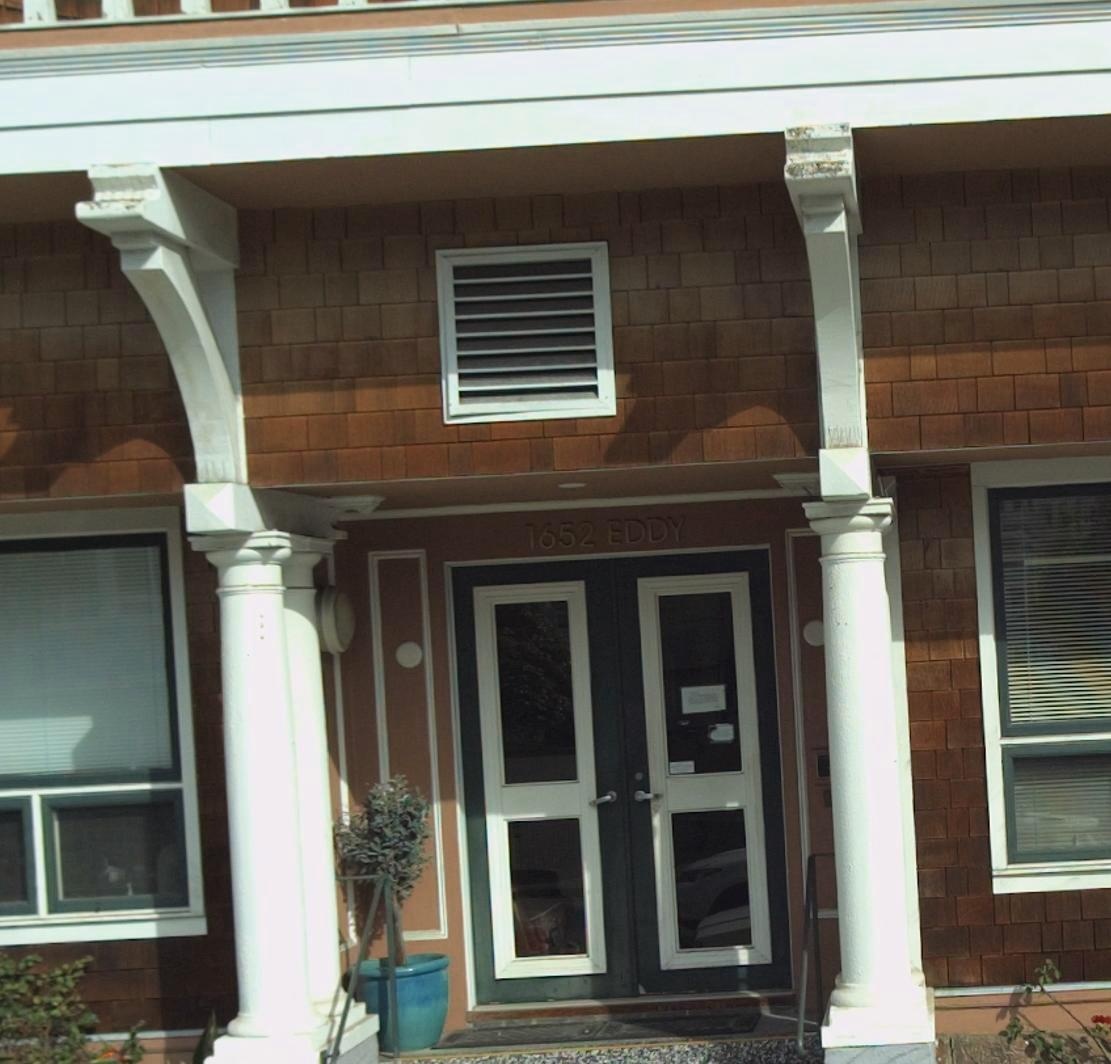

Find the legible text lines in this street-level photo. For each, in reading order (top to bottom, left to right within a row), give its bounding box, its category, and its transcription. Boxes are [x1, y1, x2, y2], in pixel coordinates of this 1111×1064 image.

[525, 518, 598, 553] StreetNumber: 1652
[605, 514, 688, 549] StreetName: EDDY